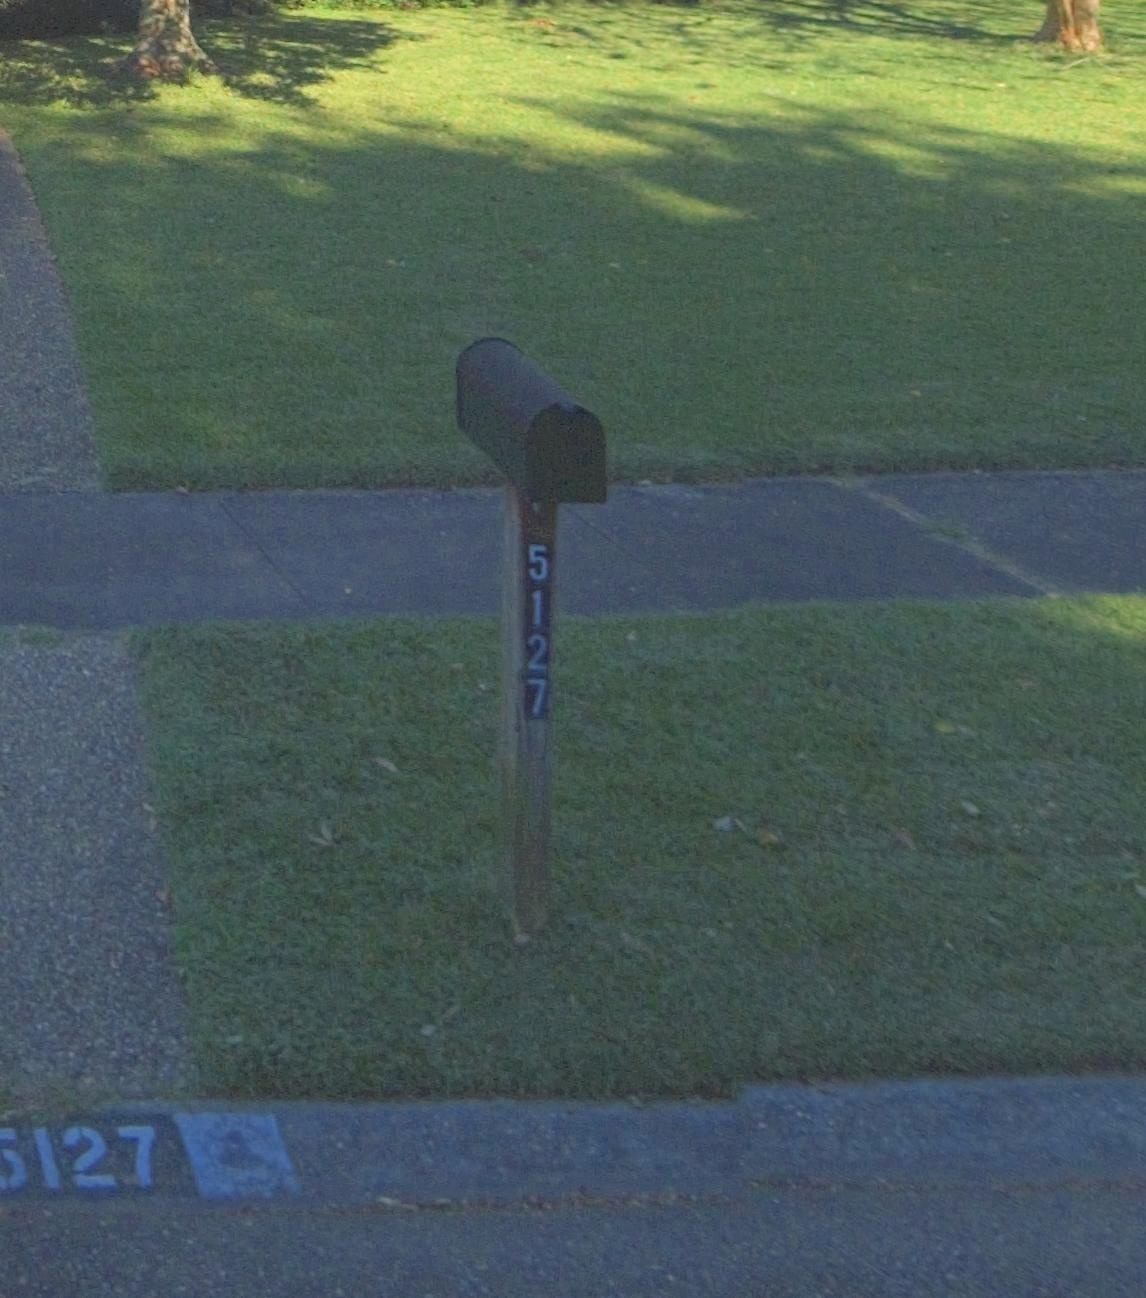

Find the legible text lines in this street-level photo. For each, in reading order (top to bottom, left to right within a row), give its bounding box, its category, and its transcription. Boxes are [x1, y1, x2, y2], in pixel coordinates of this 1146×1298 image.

[525, 542, 551, 719] StreetNumber: 5127
[26, 1120, 161, 1195] StreetNumber: 127